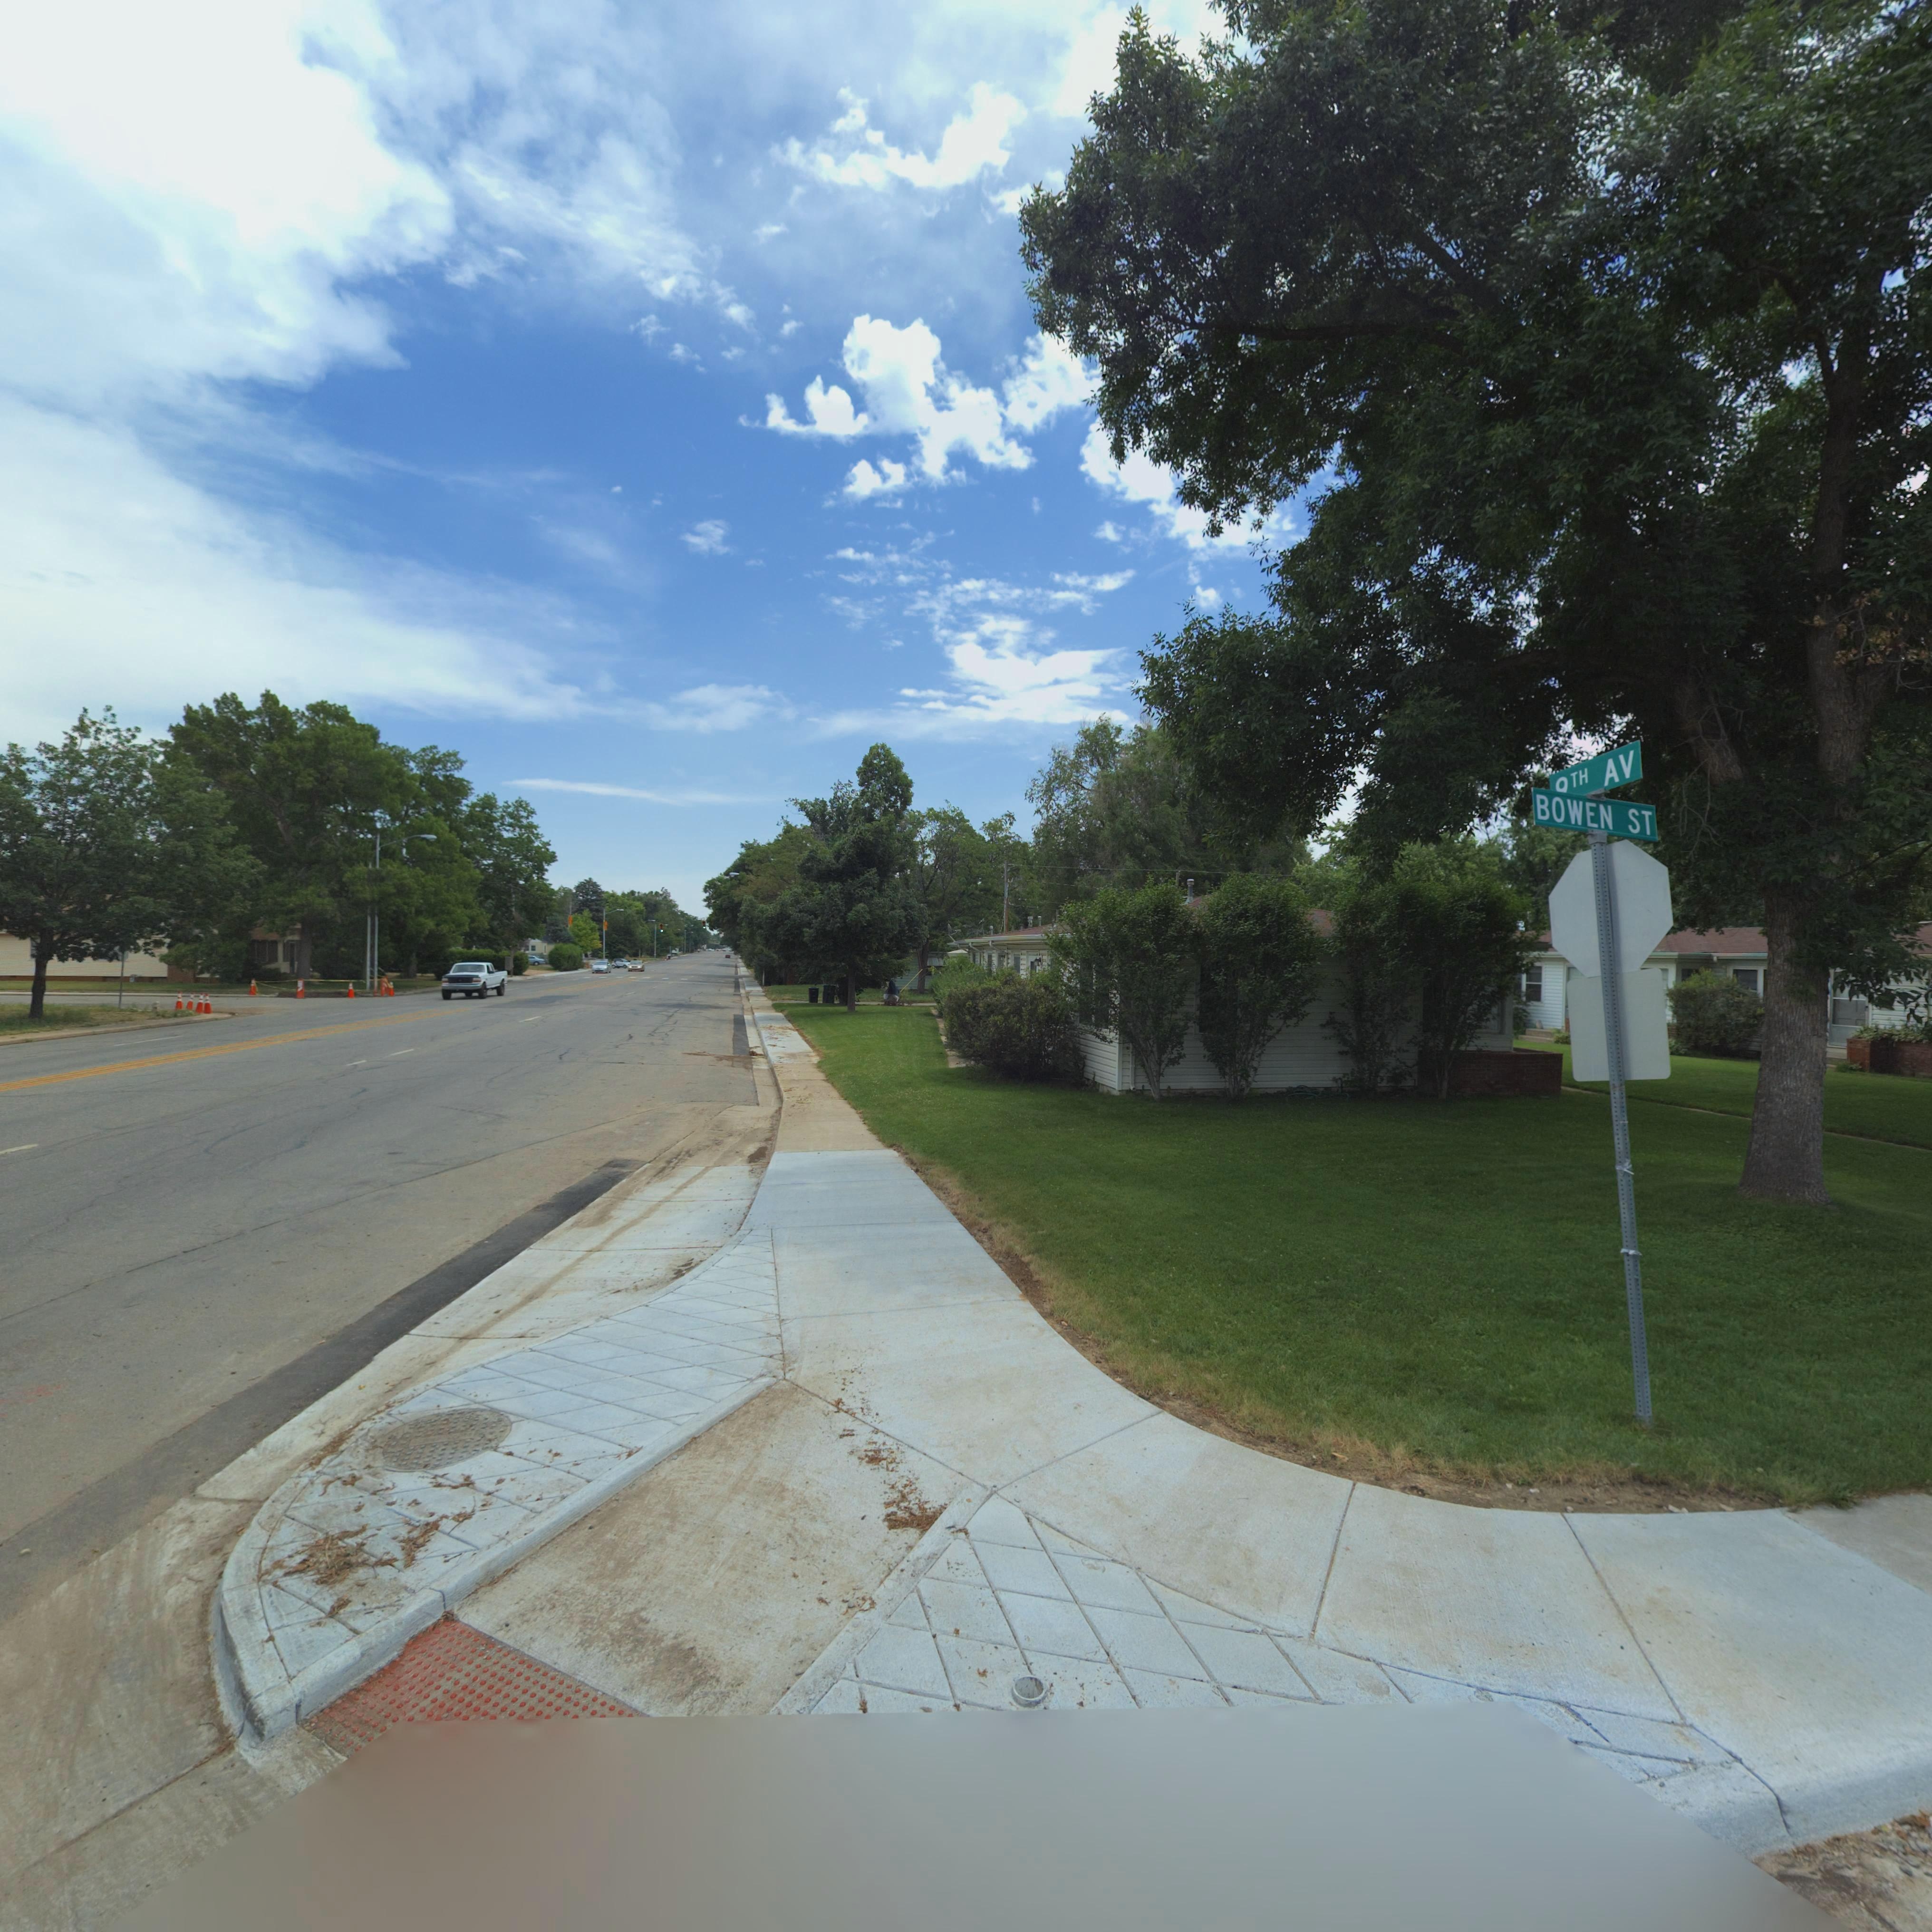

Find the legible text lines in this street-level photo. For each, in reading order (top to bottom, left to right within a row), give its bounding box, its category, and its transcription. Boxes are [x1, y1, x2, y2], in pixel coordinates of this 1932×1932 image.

[1554, 747, 1637, 795] StreetName: *TH AV
[1536, 794, 1653, 836] StreetName: BOWEN ST